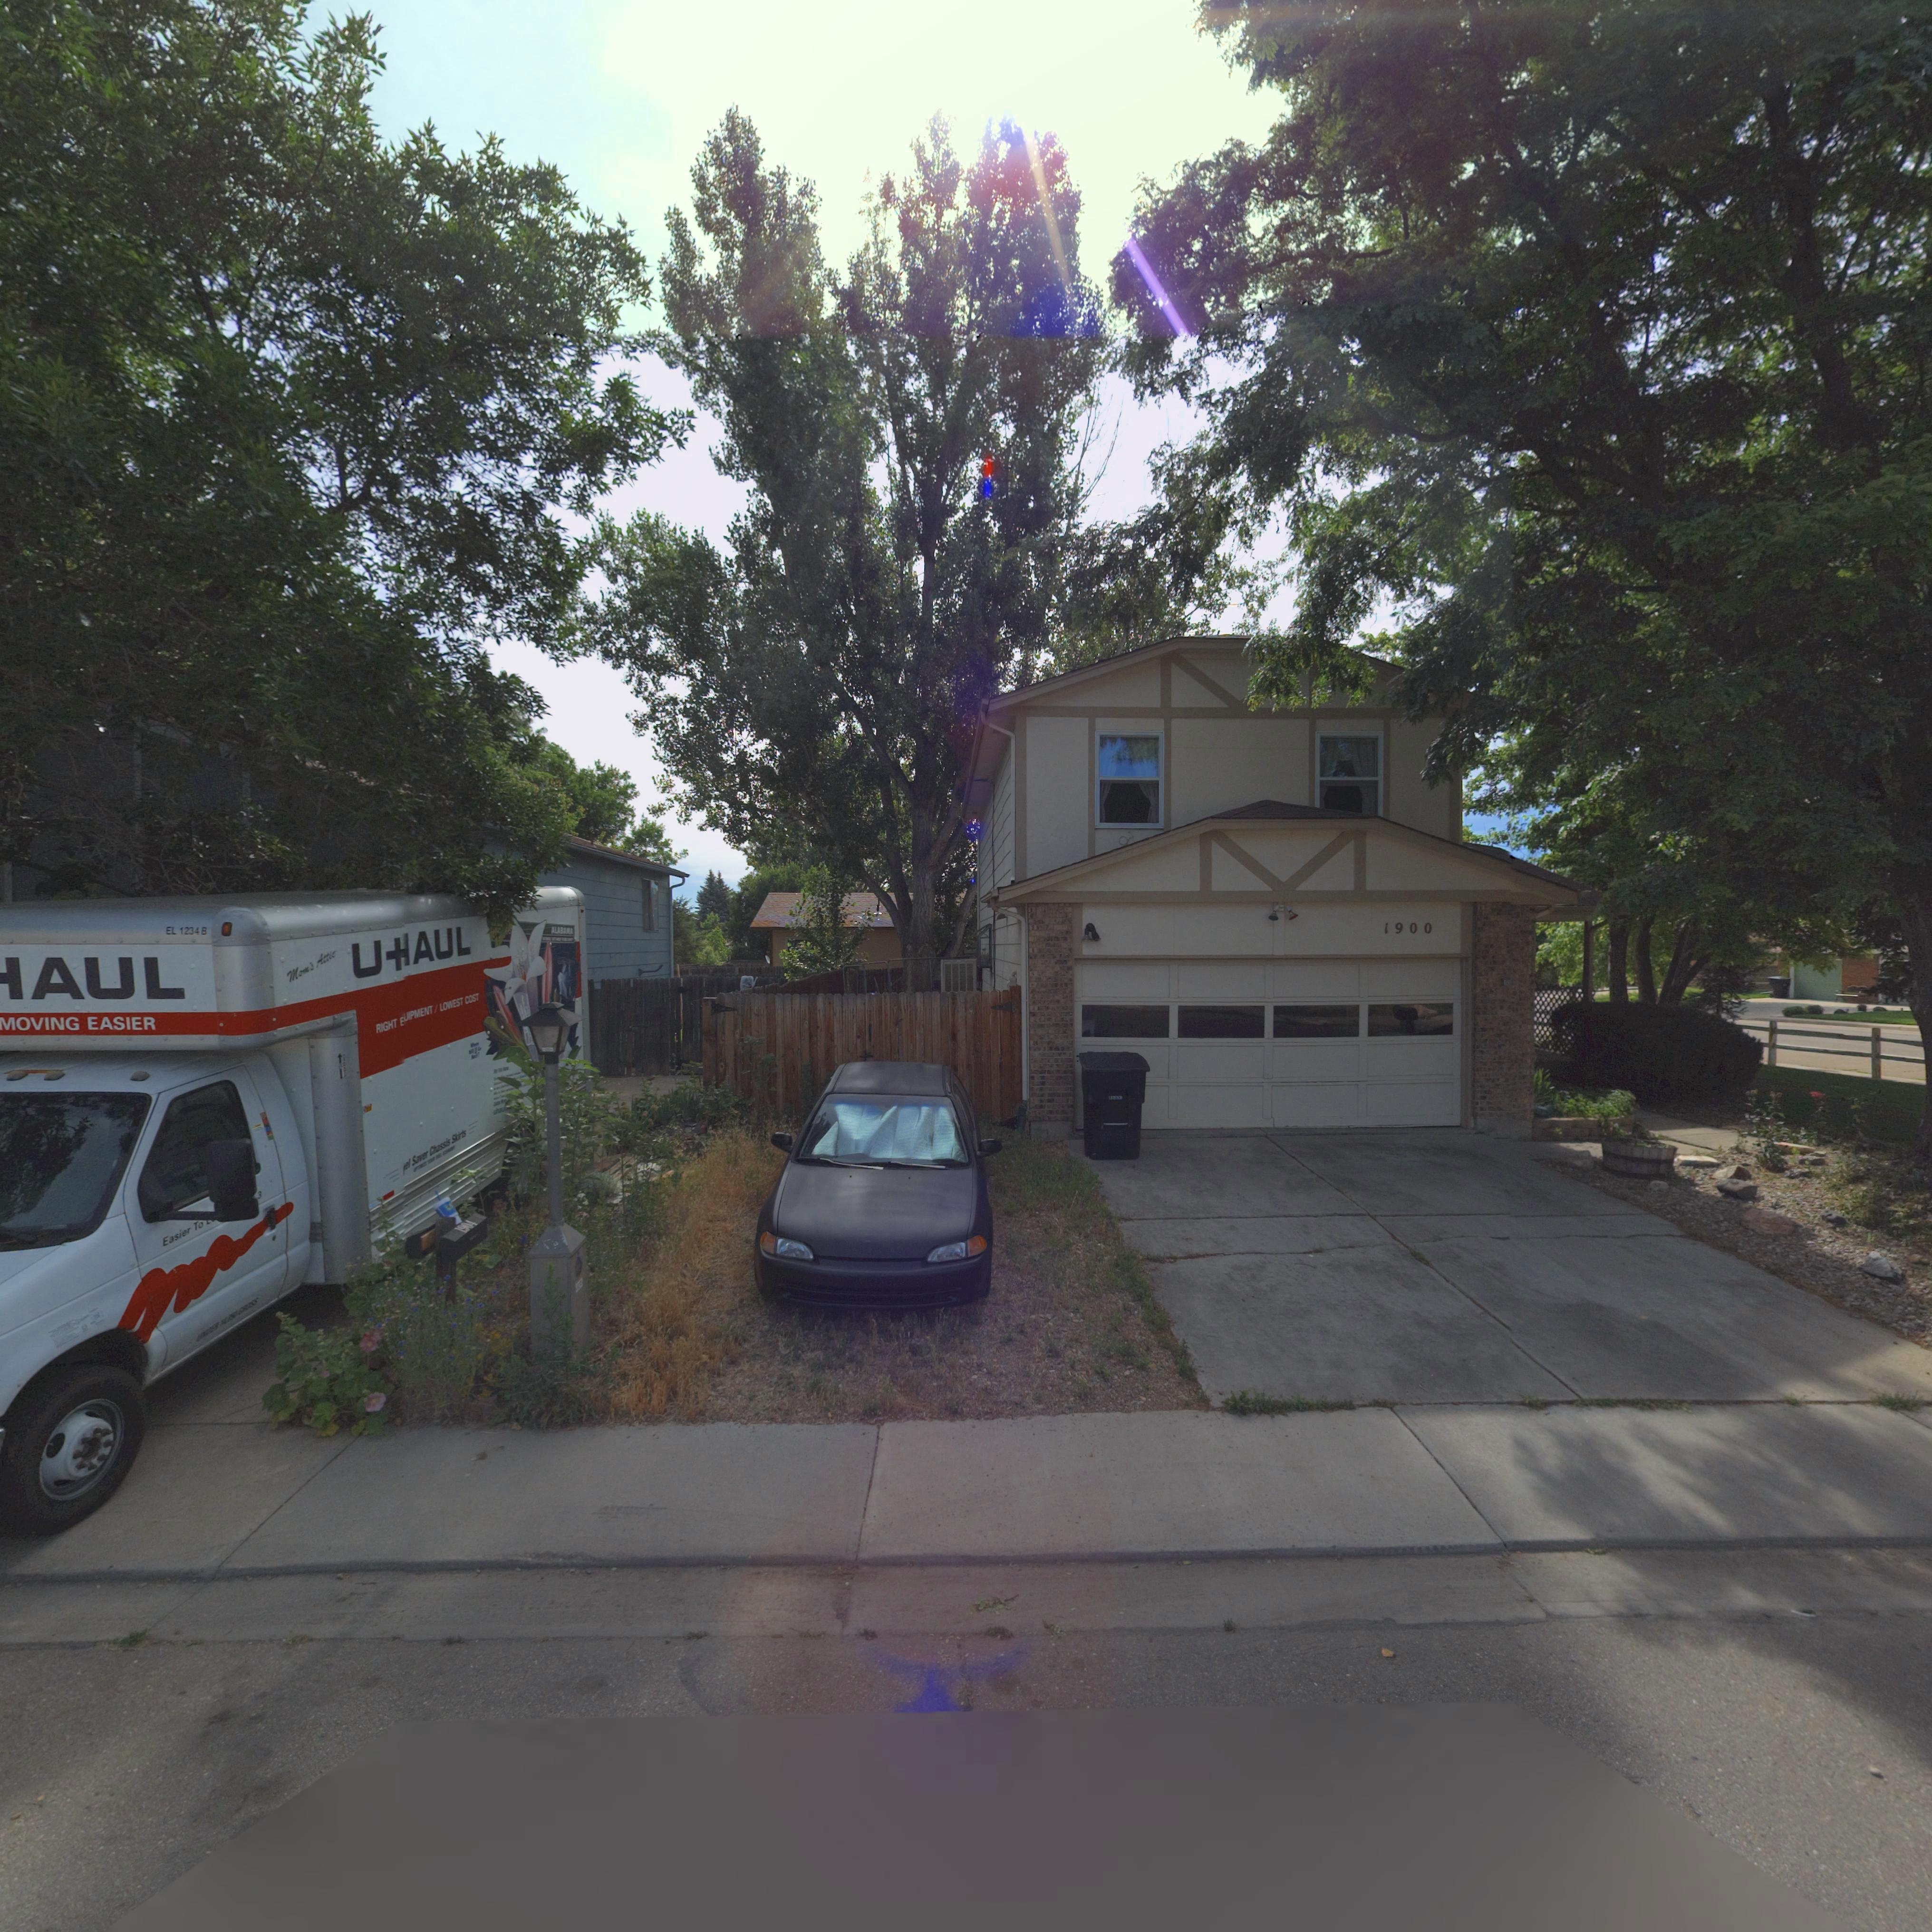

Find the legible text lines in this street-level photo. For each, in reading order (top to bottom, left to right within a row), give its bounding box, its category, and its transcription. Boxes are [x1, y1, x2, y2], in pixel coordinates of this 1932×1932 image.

[1384, 921, 1432, 934] StreetNumber: 1900
[454, 1218, 478, 1234] StreetNumber: 1904